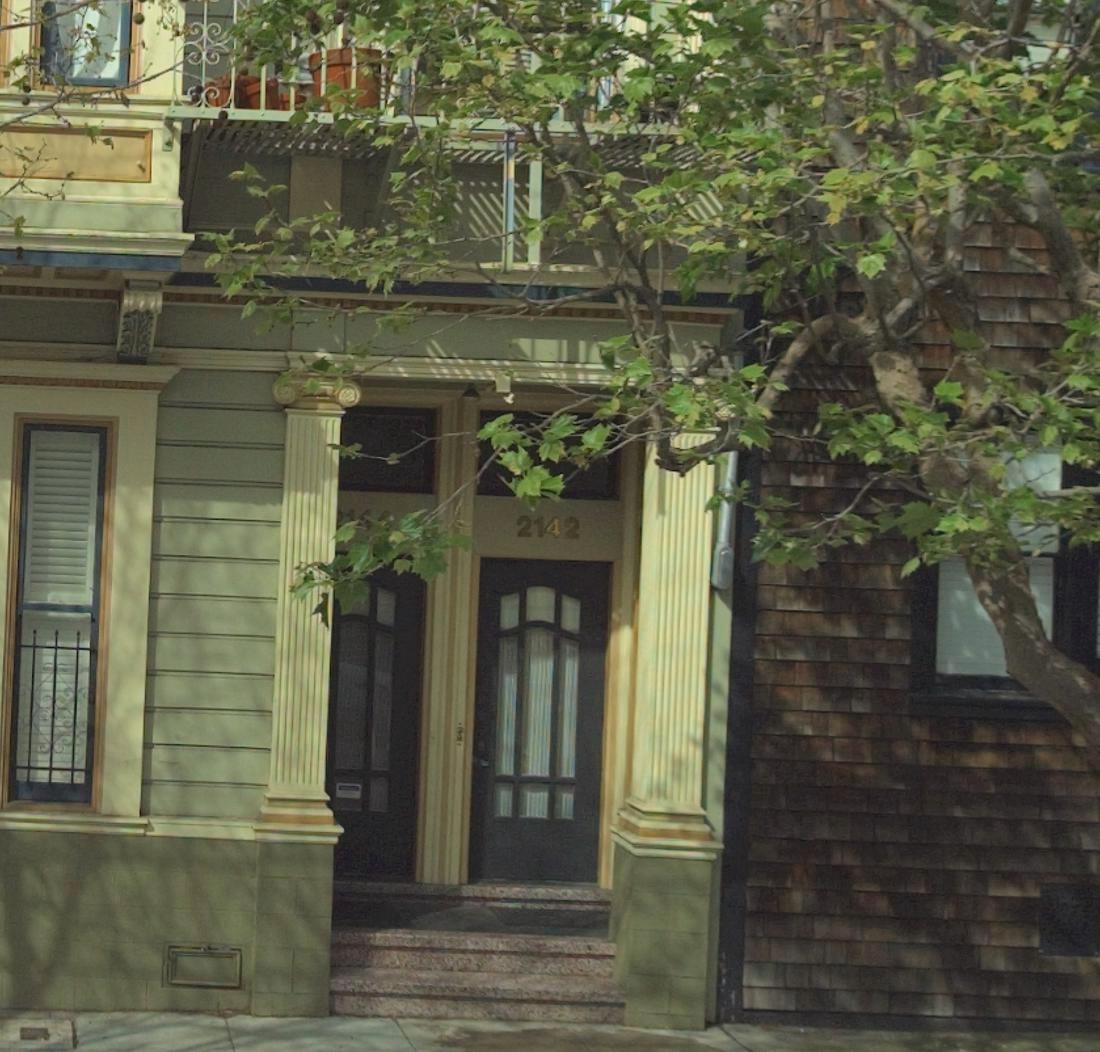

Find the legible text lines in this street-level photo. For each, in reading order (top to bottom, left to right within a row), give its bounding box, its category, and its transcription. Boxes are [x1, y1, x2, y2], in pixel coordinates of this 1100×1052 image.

[514, 514, 582, 541] StreetNumber: 2142